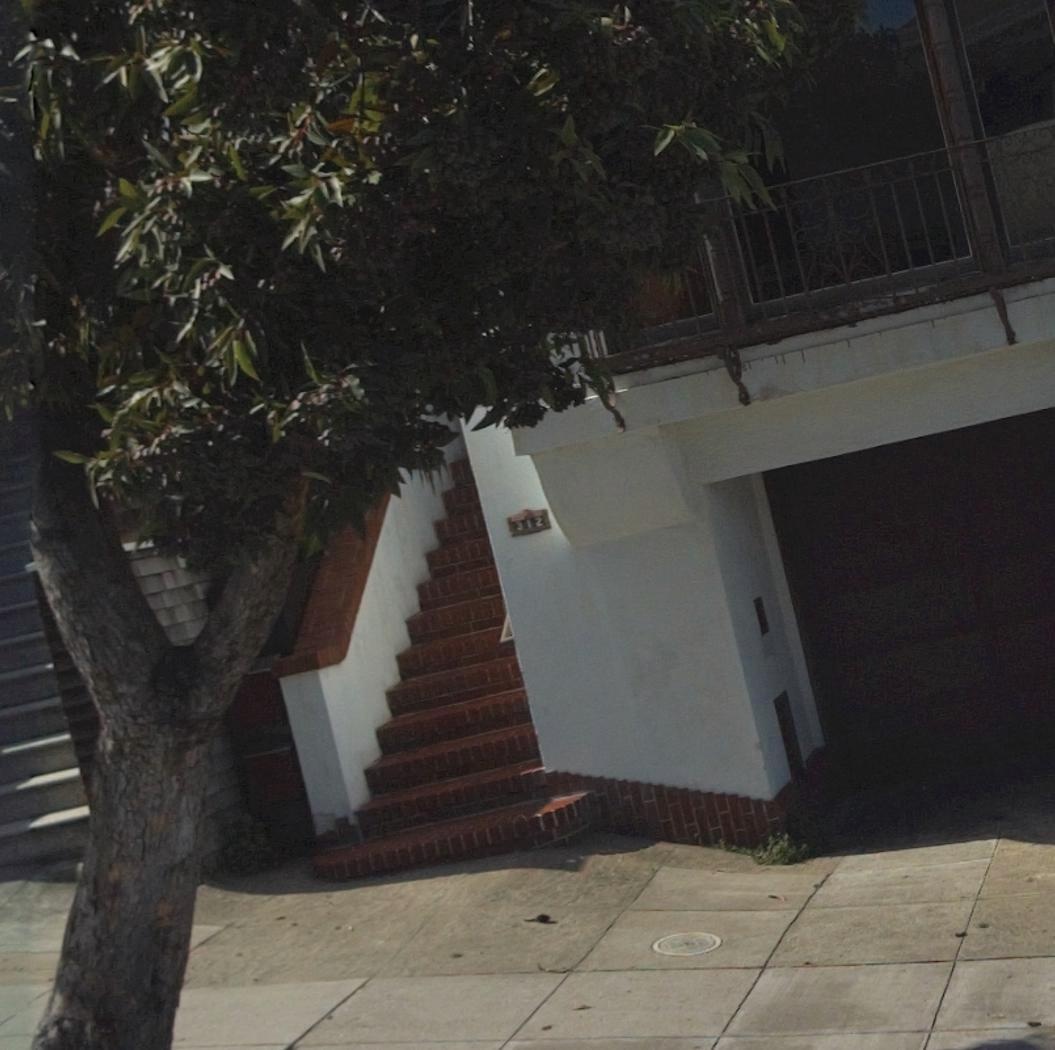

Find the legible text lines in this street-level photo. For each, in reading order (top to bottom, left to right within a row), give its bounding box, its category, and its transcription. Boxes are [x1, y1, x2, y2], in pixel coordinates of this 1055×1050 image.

[514, 515, 545, 533] StreetNumber: 312